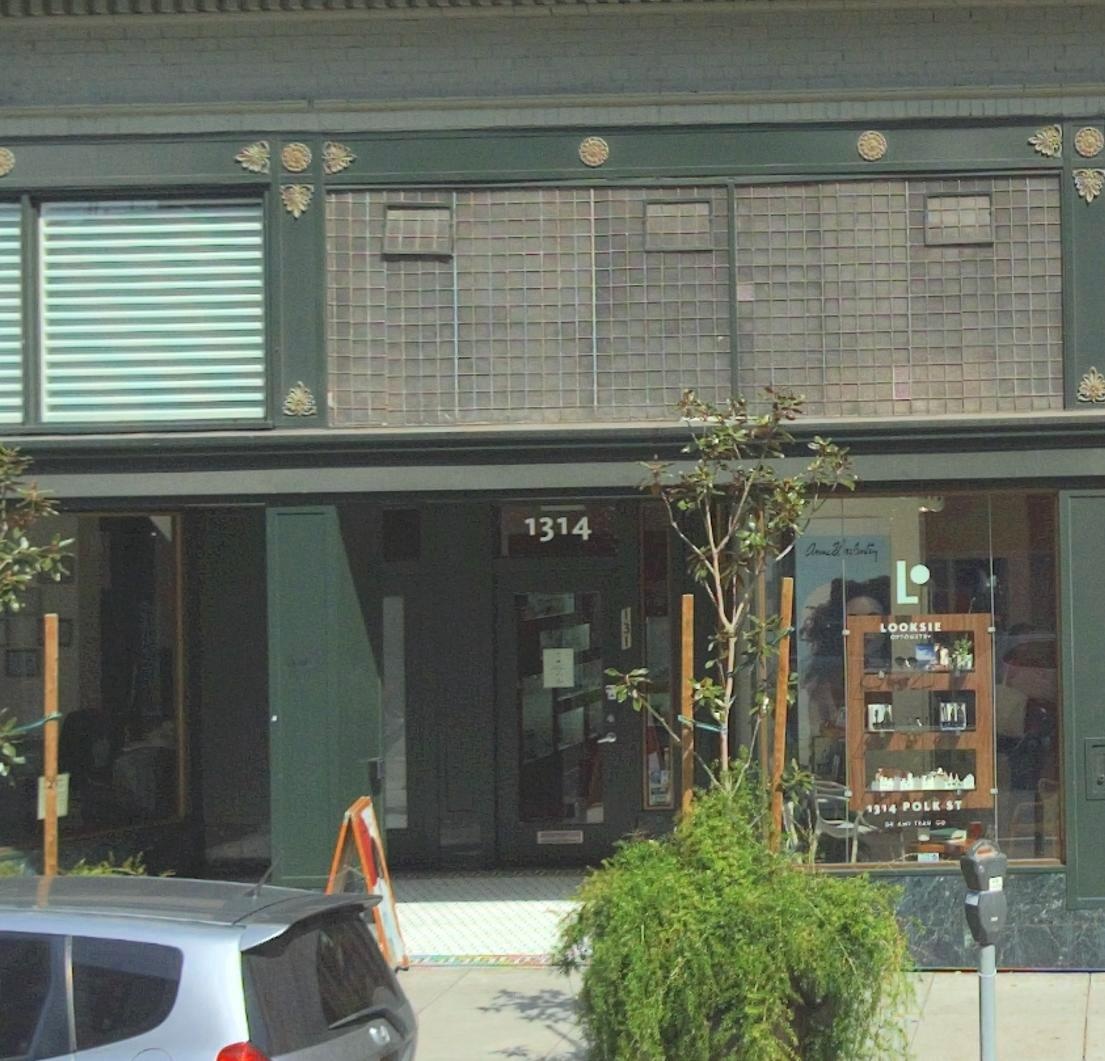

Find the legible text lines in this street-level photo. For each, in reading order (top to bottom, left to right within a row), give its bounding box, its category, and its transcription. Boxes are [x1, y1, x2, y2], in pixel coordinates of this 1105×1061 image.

[523, 512, 594, 545] StreetNumber: 1314
[895, 558, 920, 607] BusinessName: L
[878, 620, 943, 634] None: LOOKSIE
[864, 801, 897, 816] StreetNumber: 1314
[900, 798, 963, 814] StreetName: POLK ST